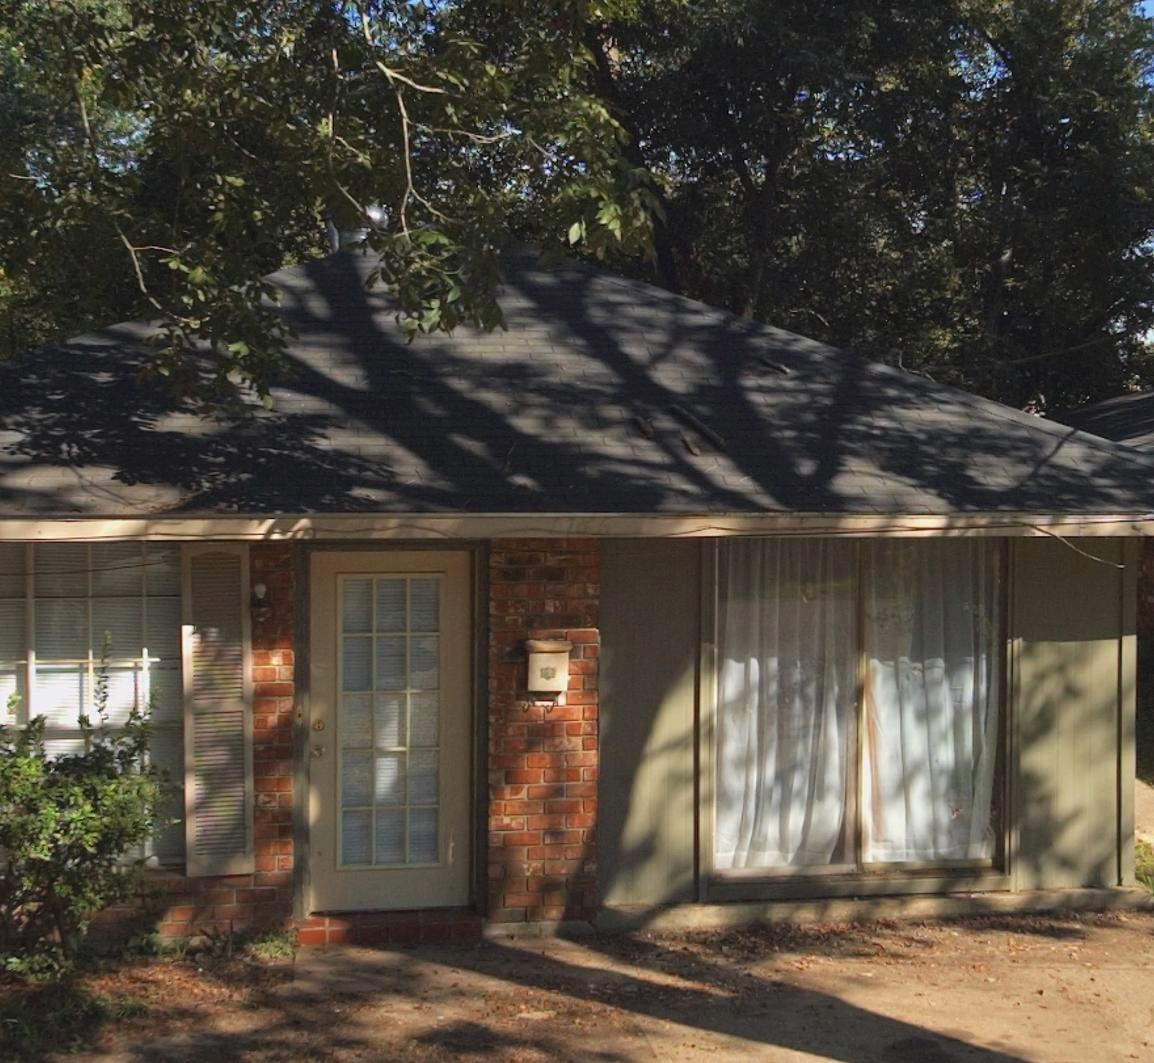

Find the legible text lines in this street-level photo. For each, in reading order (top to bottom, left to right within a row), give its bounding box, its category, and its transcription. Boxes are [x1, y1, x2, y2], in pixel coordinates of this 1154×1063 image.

[550, 517, 612, 537] StreetNumber: 1786